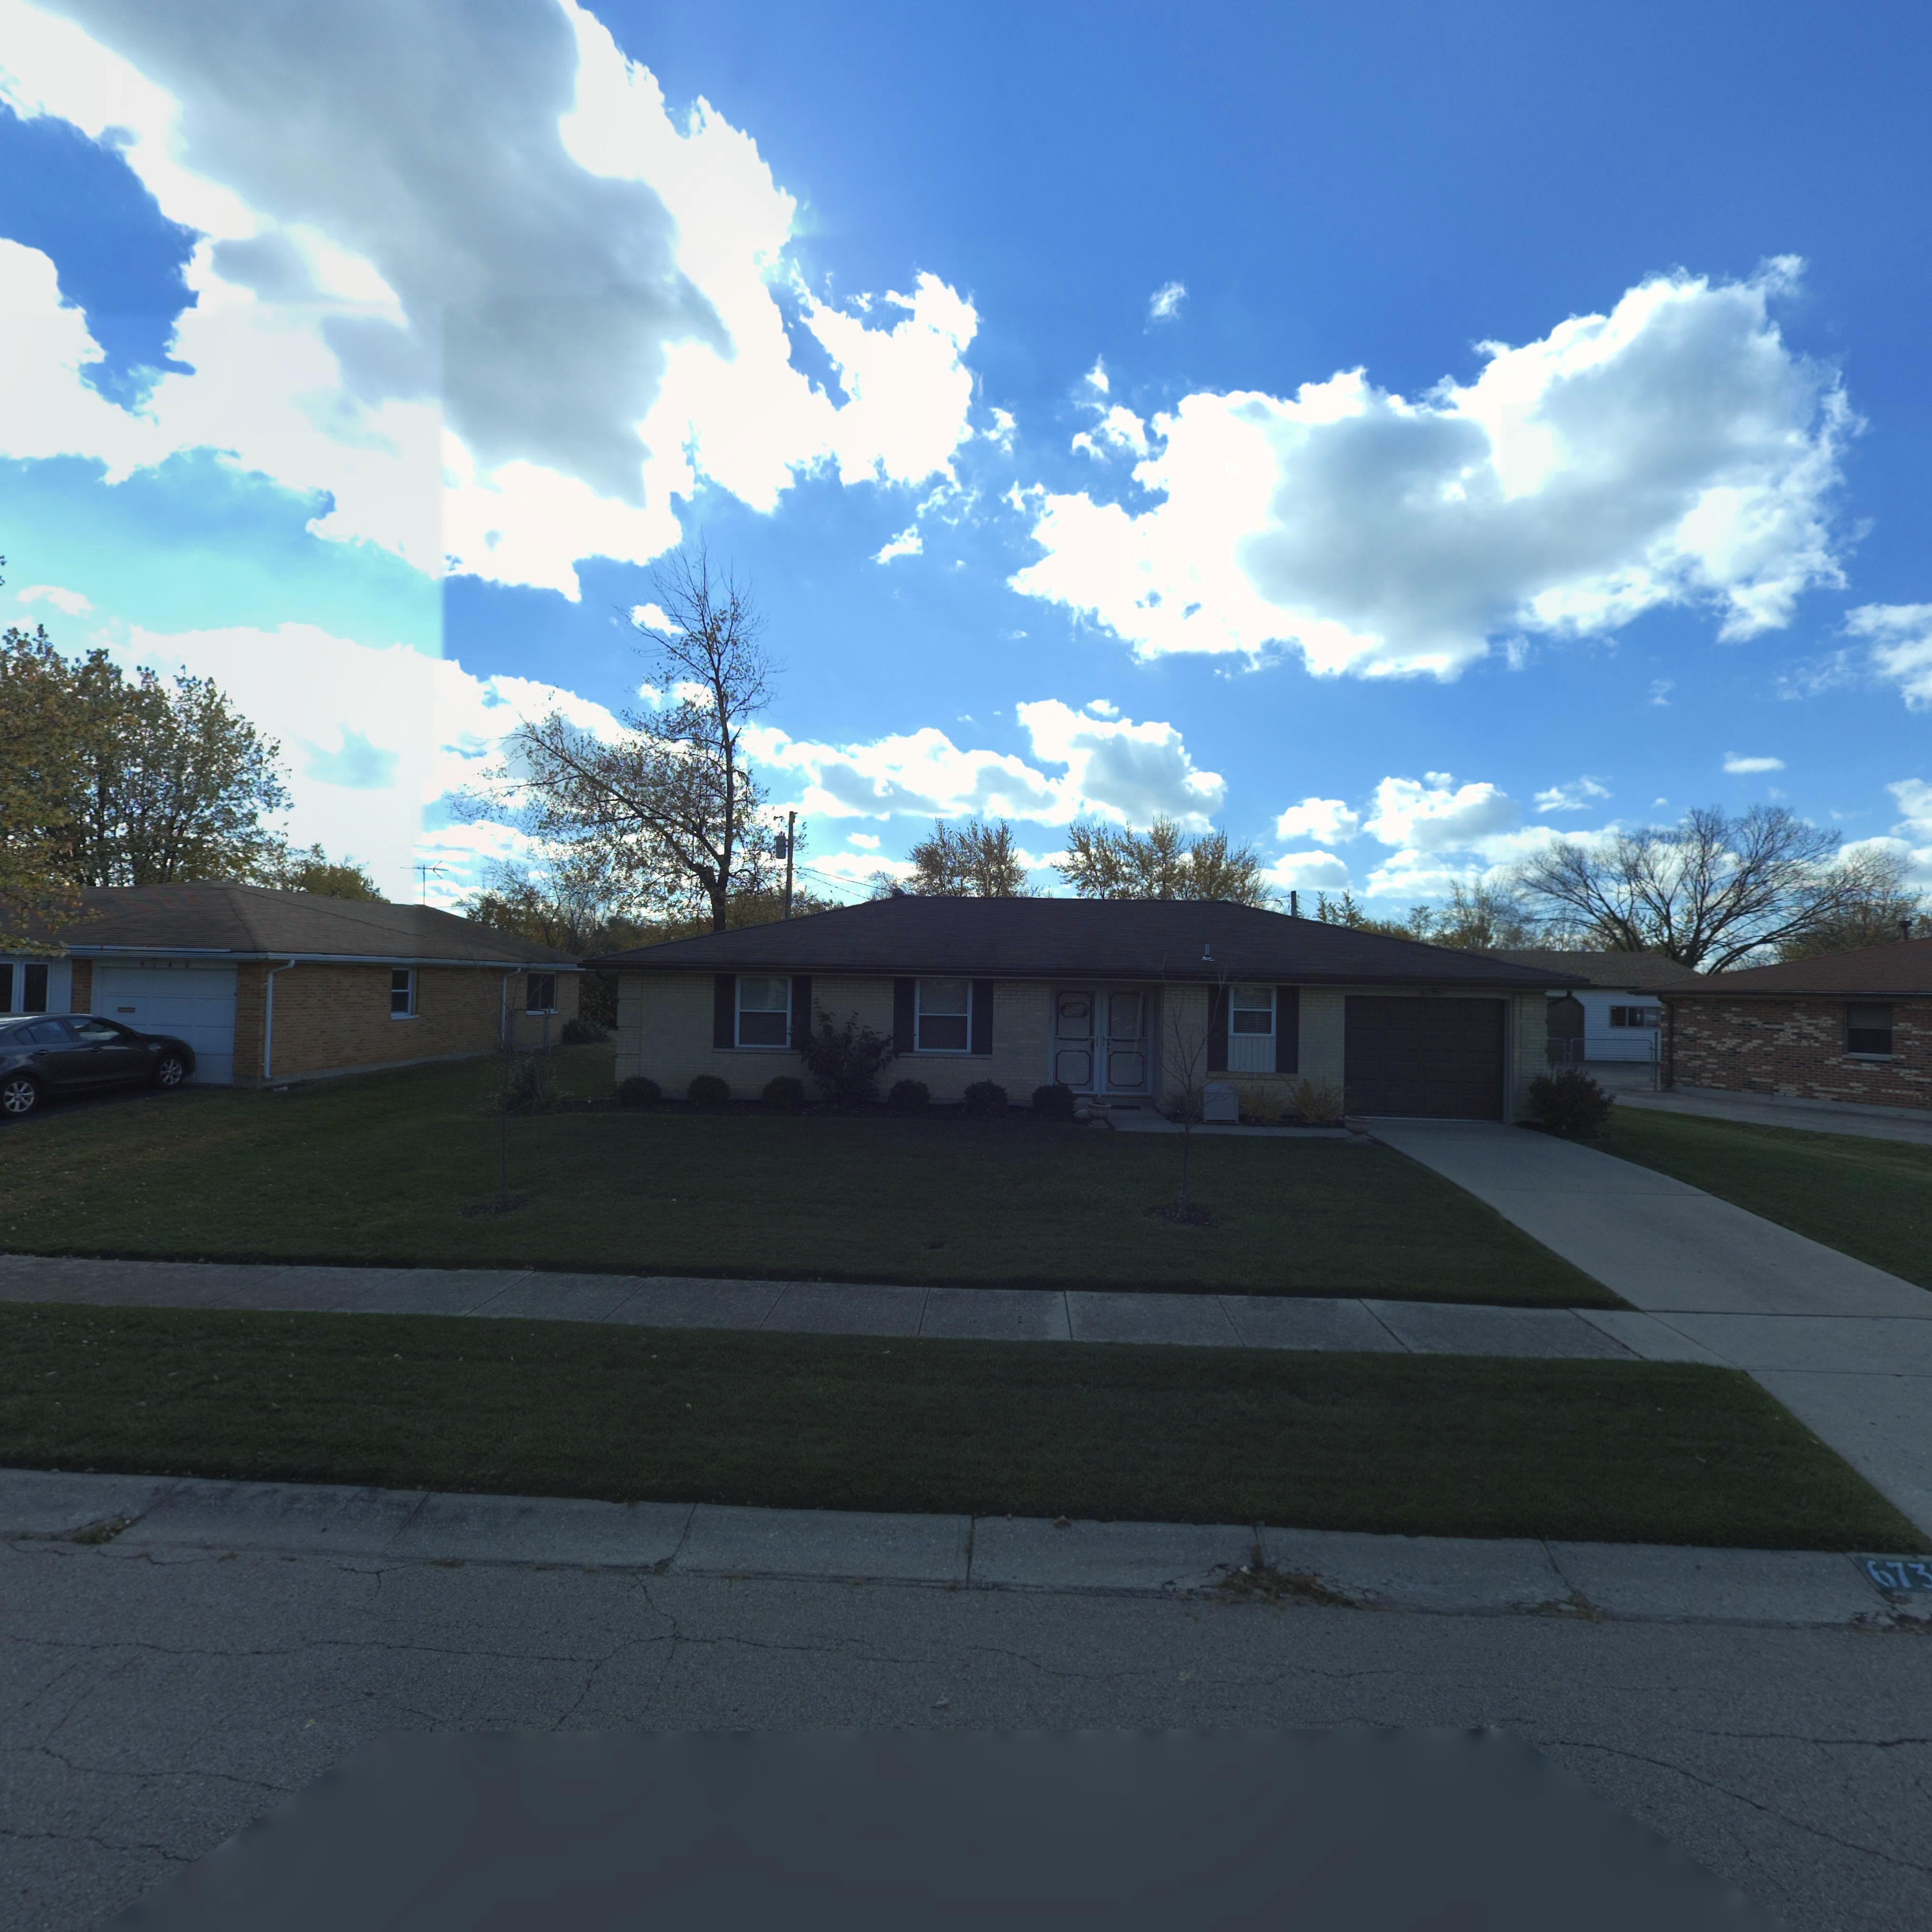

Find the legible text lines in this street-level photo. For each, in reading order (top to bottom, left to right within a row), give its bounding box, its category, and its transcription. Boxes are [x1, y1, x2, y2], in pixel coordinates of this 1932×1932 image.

[138, 959, 191, 968] StreetNumber: 6*40
[1419, 988, 1433, 997] StreetNumber: 67
[1864, 1558, 1914, 1589] StreetNumber: 67